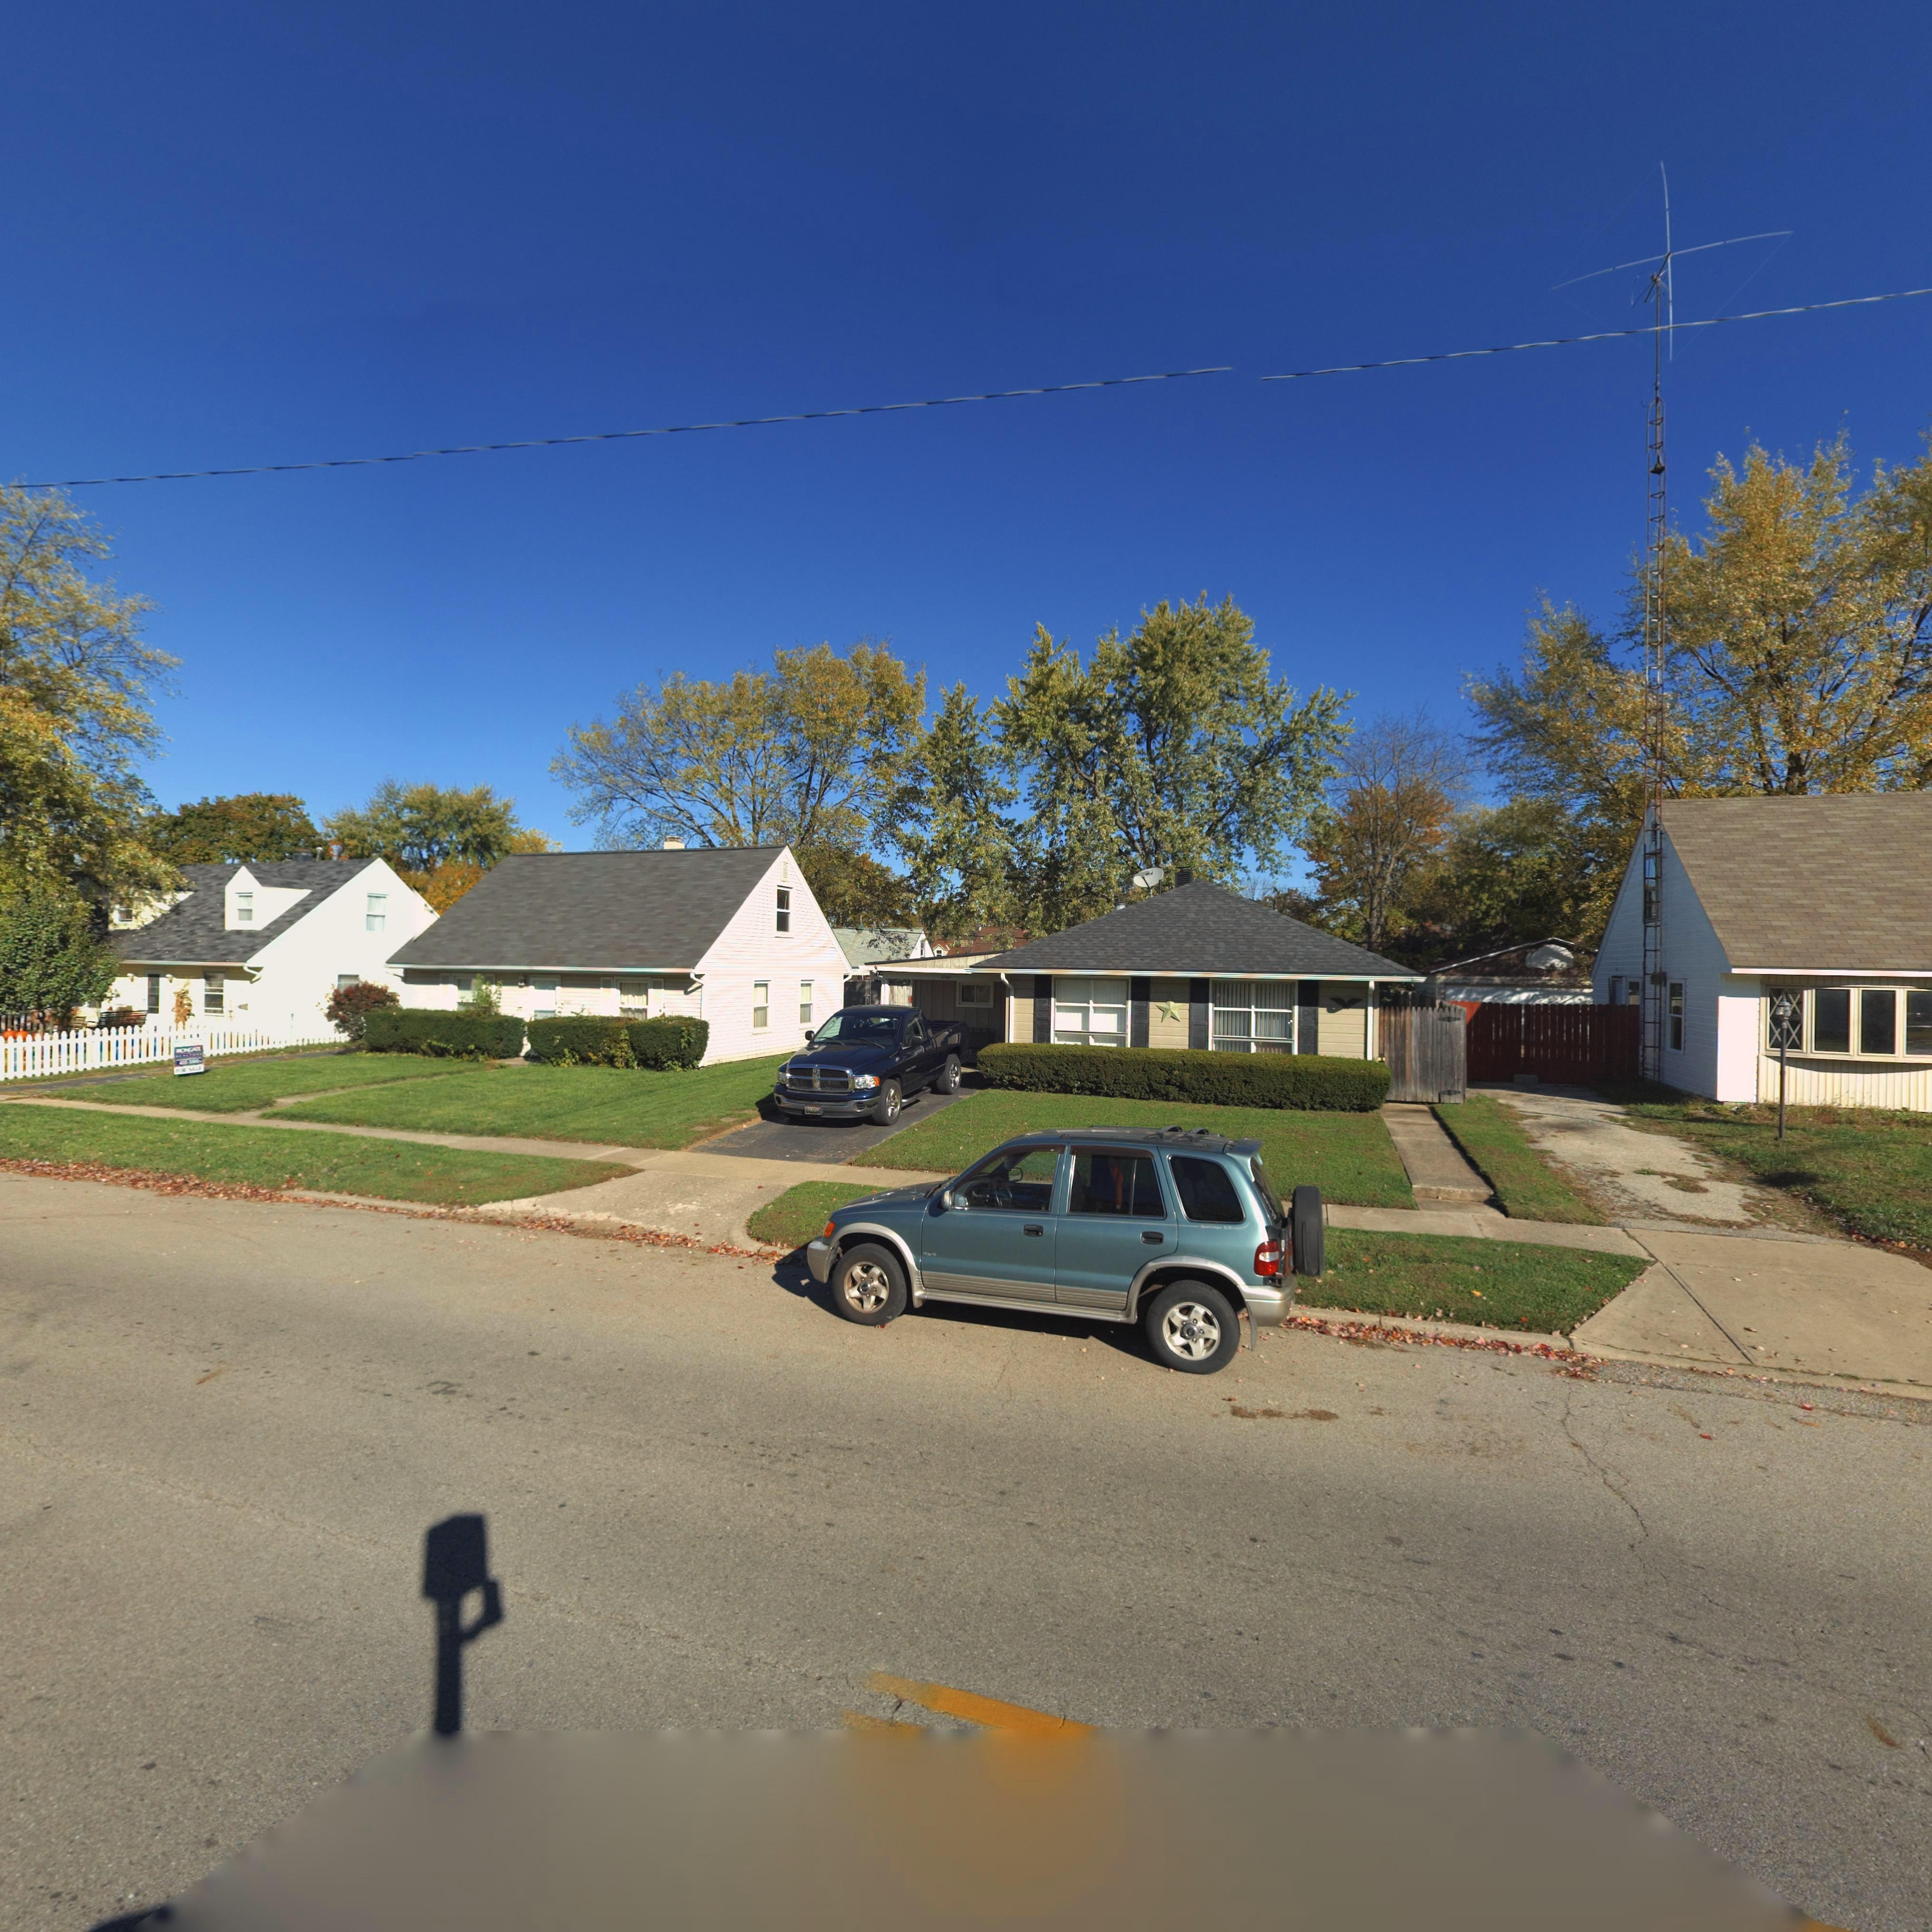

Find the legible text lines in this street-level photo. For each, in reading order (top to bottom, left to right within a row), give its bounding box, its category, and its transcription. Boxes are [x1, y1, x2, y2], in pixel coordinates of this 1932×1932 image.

[940, 974, 953, 980] StreetNumber: 2561